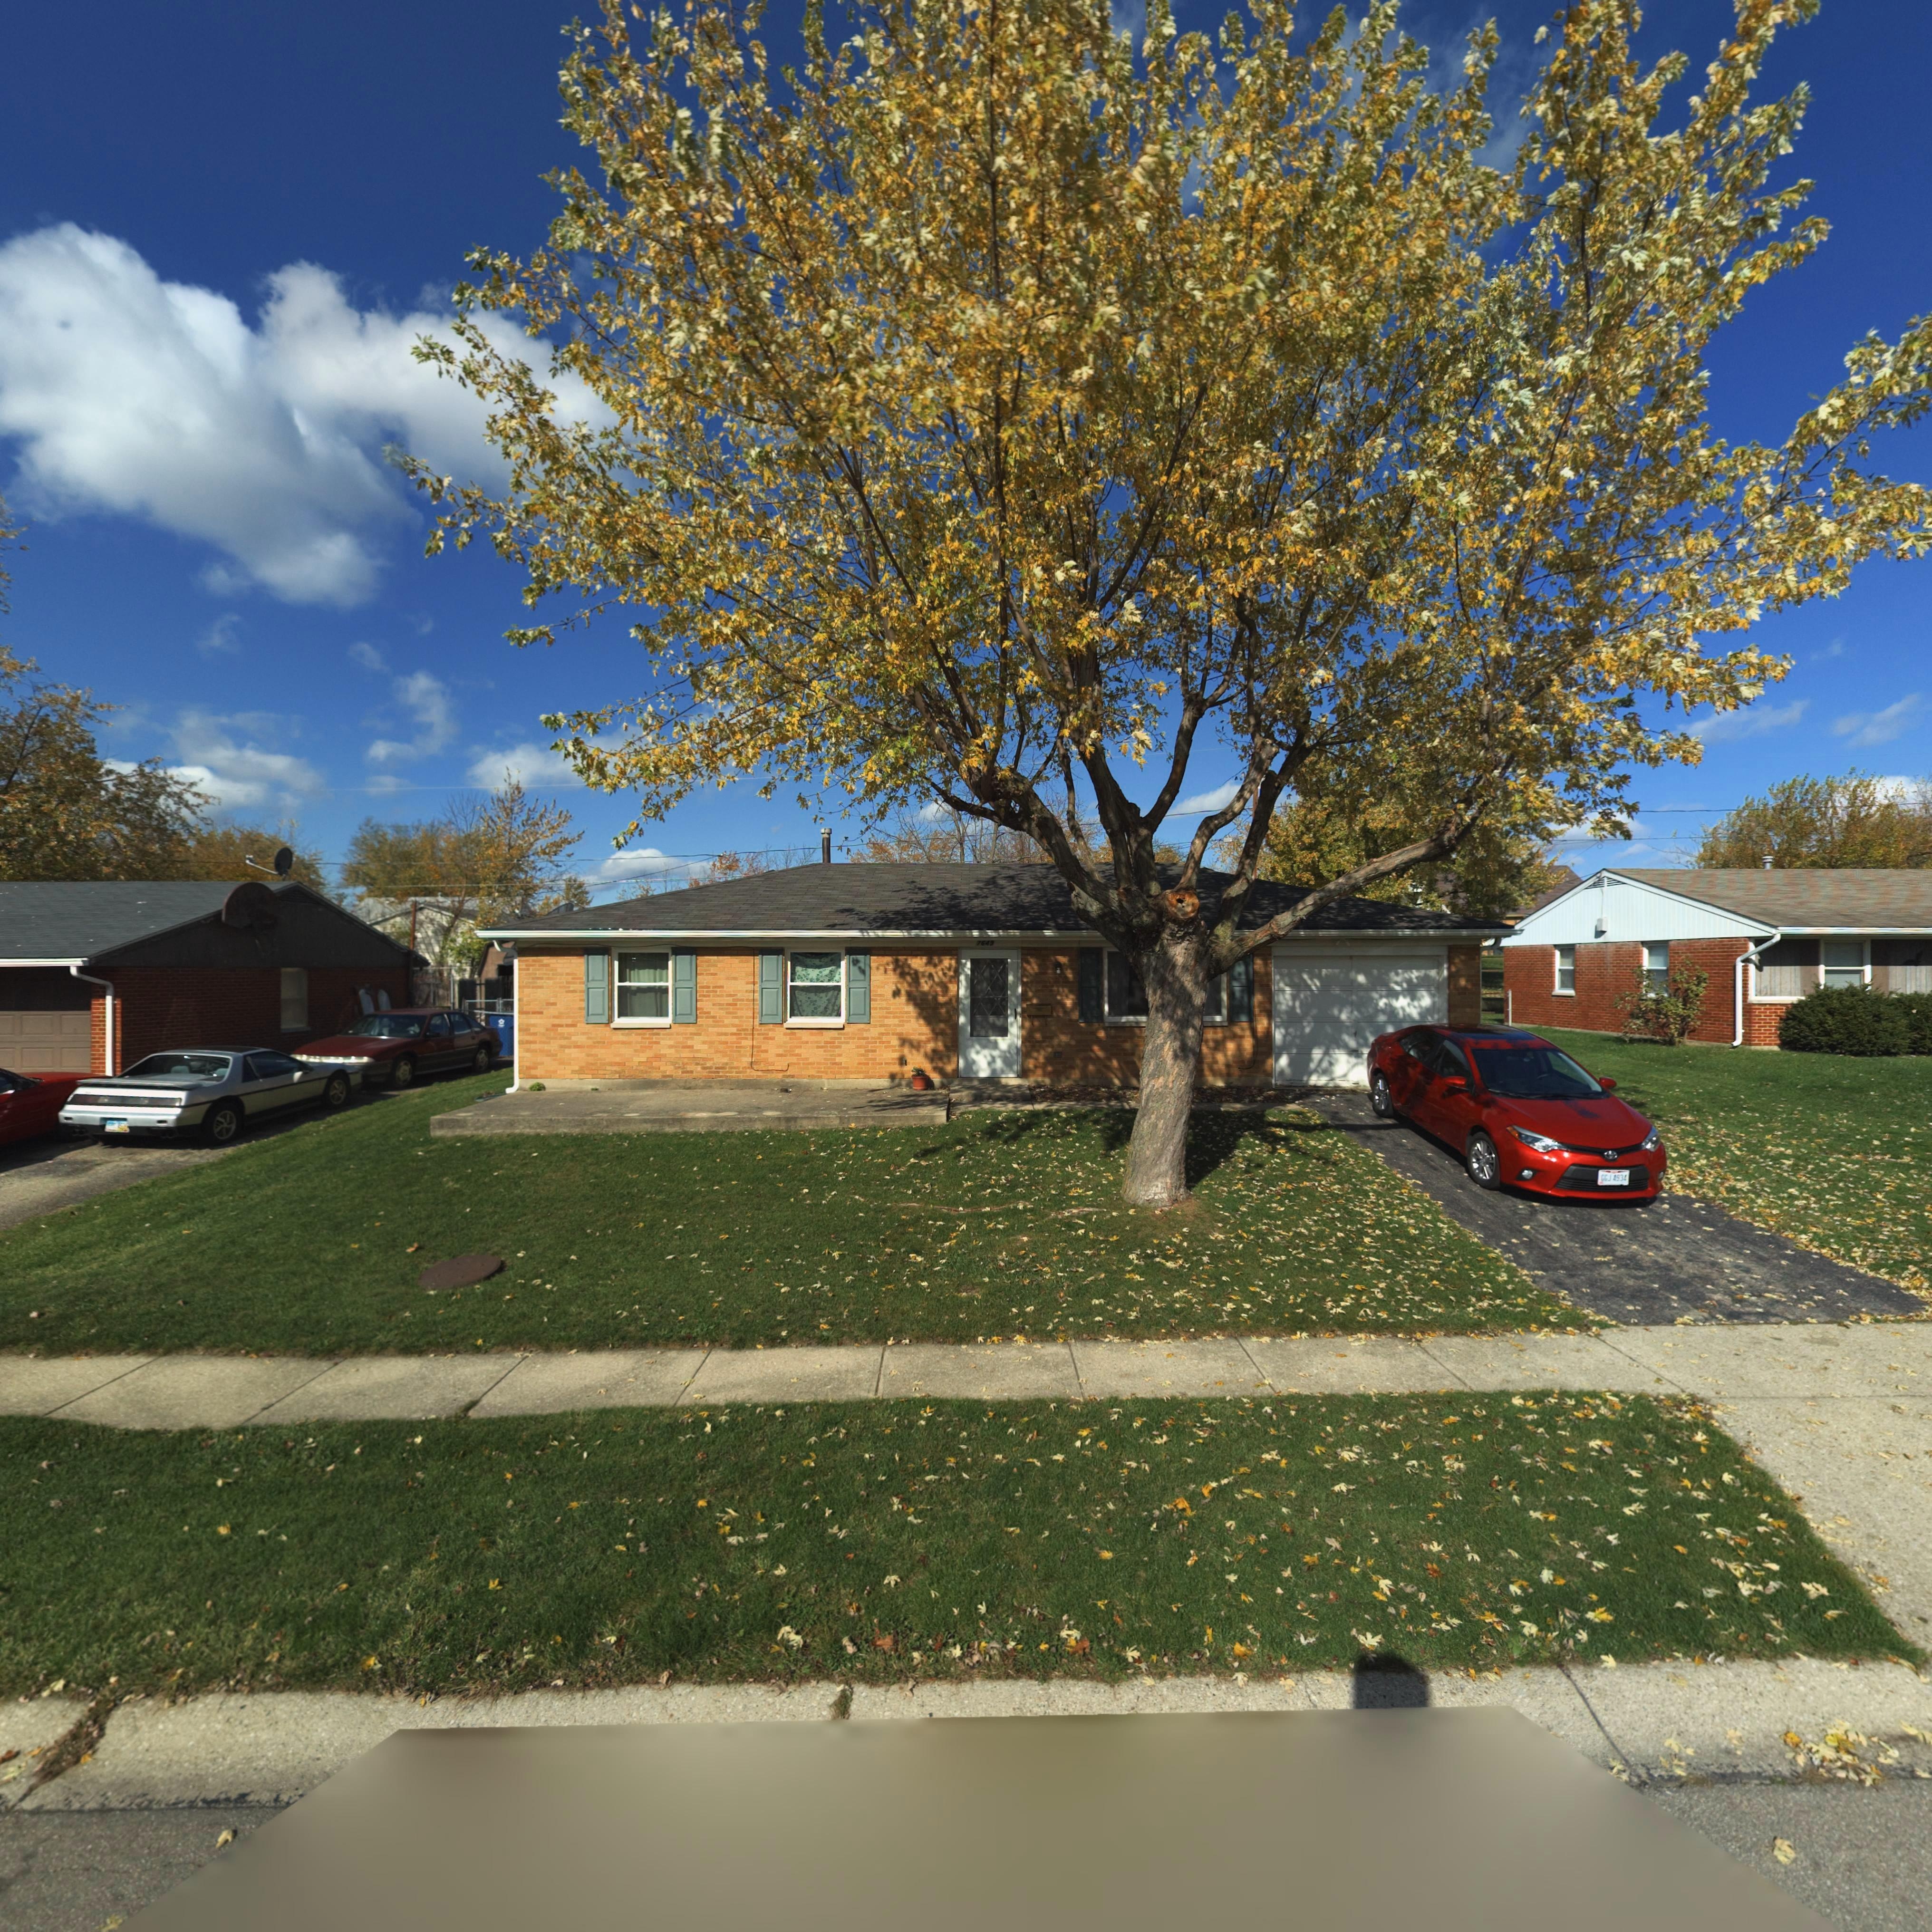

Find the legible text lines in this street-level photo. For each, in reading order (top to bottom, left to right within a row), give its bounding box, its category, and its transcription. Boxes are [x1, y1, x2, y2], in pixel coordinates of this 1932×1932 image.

[976, 940, 995, 946] StreetNumber: 7649